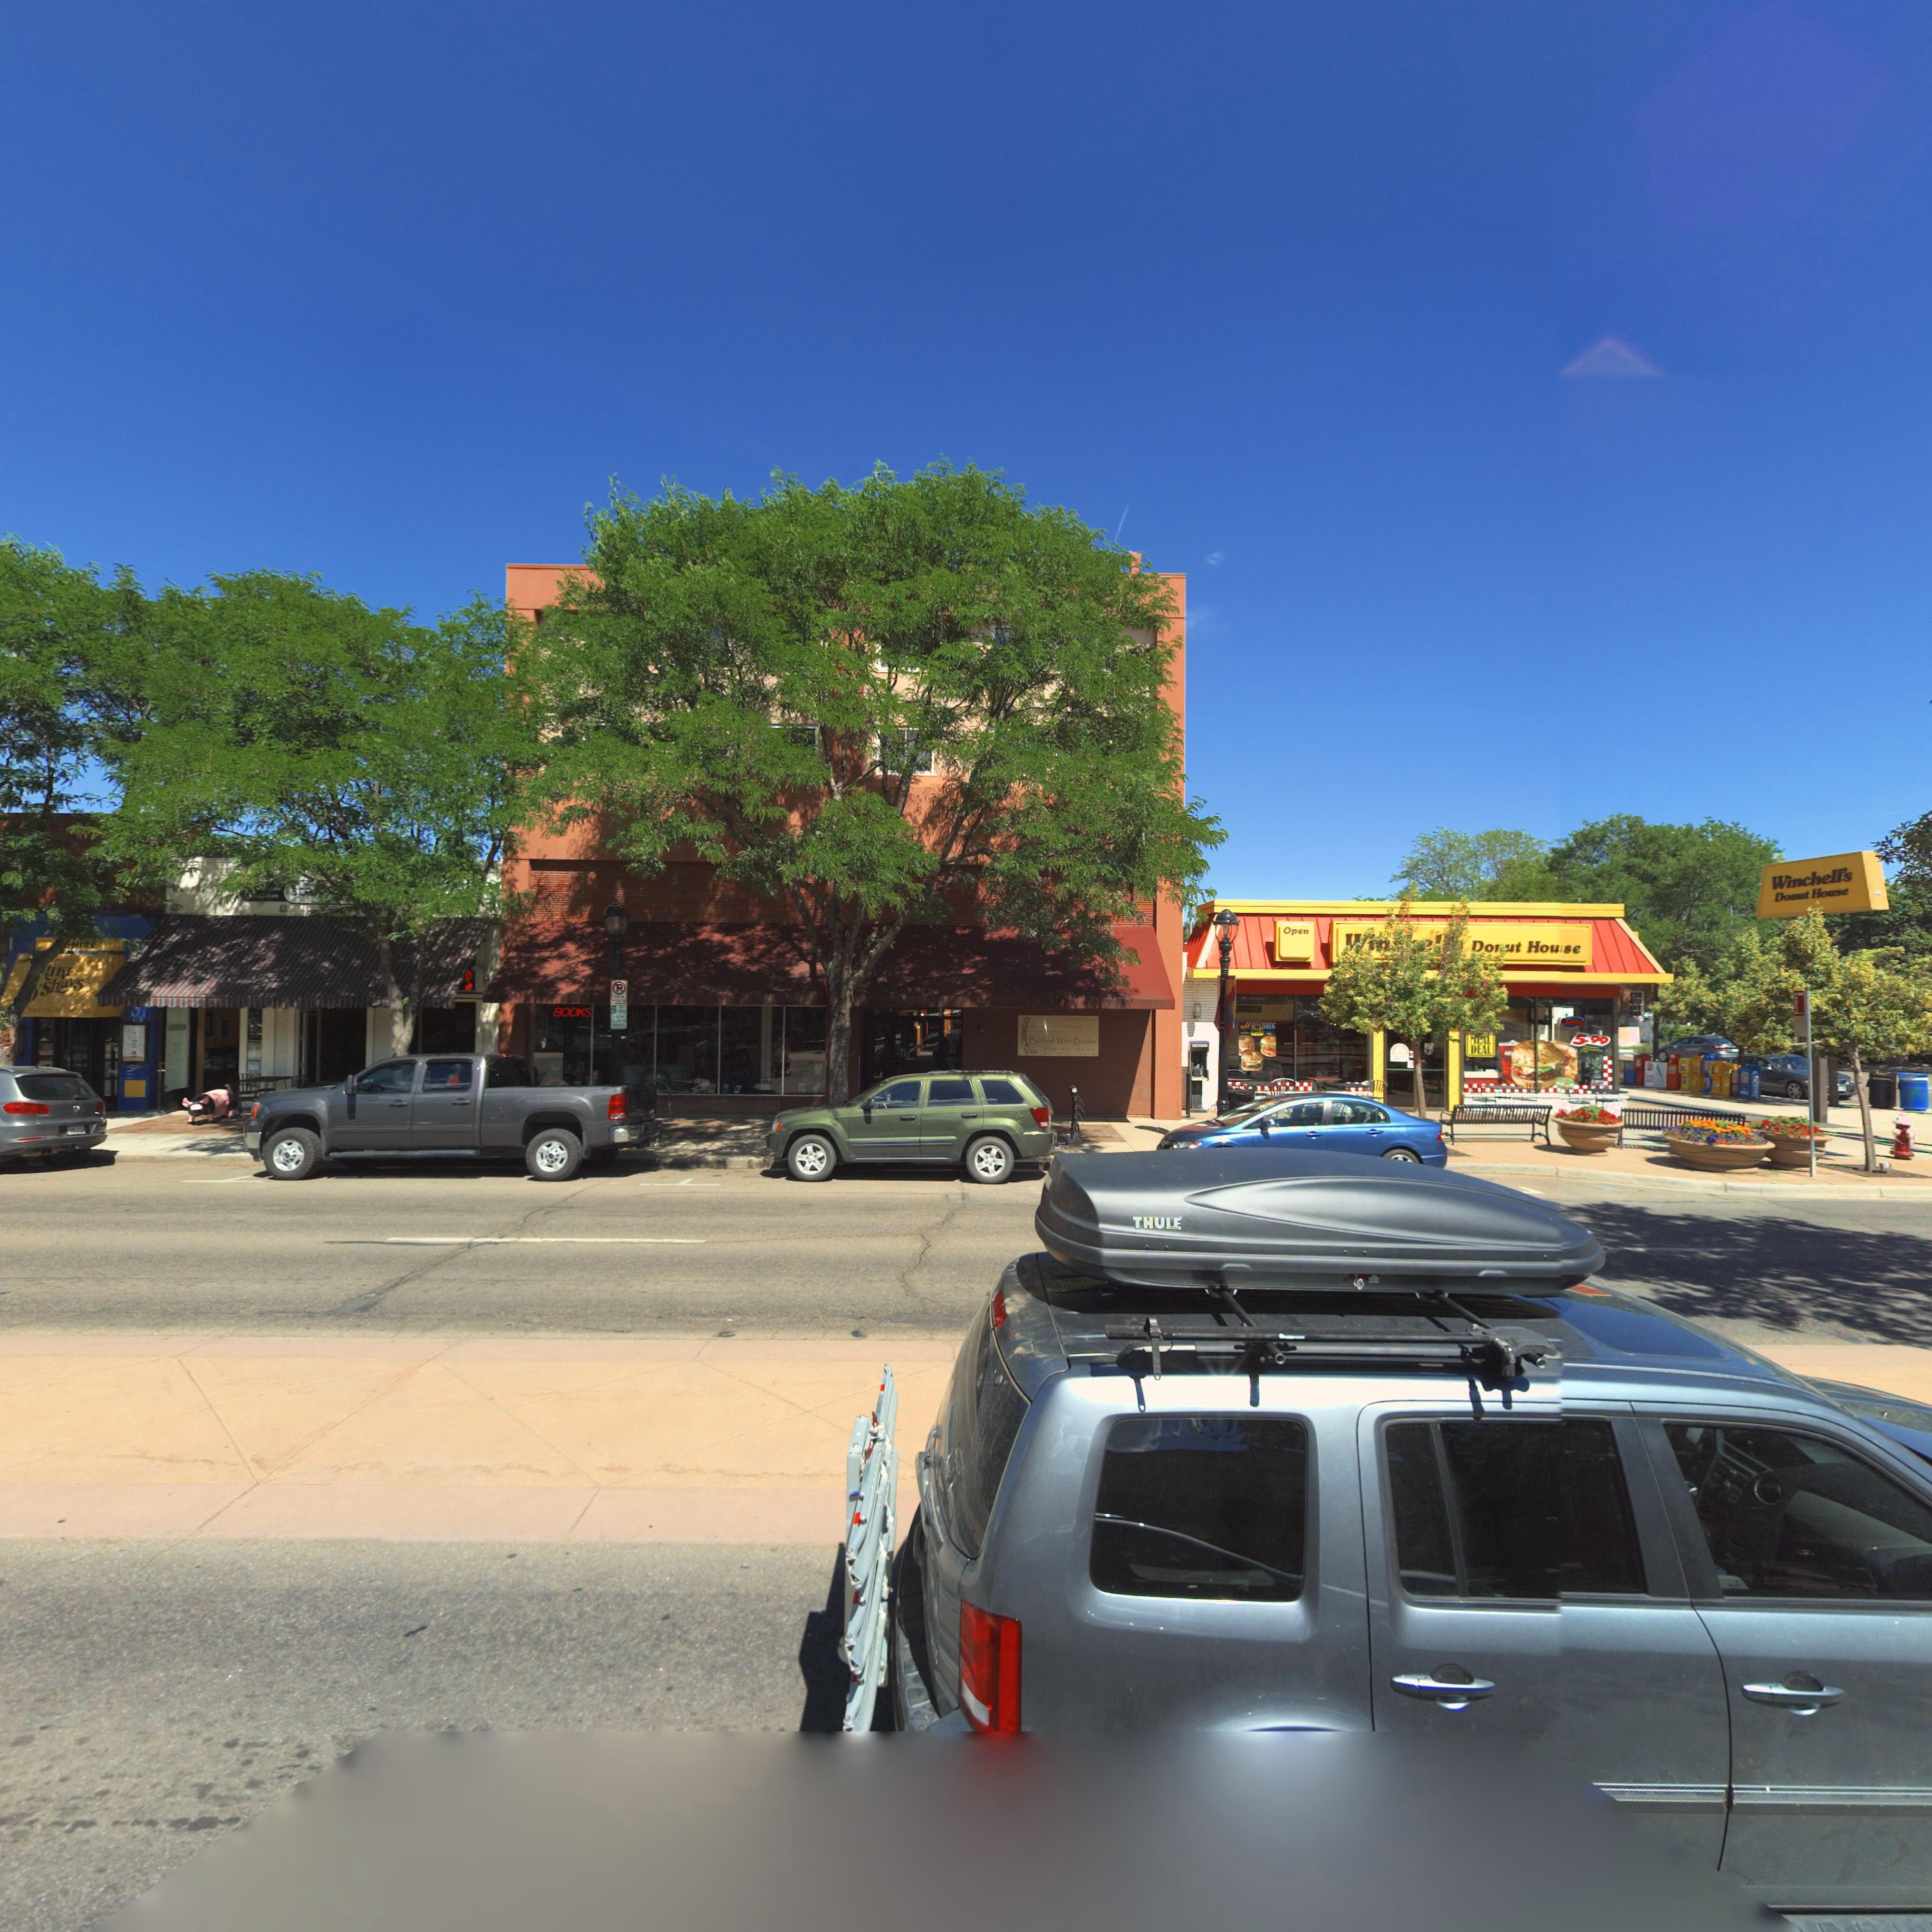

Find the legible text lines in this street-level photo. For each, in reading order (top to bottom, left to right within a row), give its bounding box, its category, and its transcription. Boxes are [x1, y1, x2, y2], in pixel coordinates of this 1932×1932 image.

[1771, 867, 1853, 890] BusinessName: Winchells
[1774, 888, 1848, 902] BusinessName: Do**t House
[1471, 939, 1582, 954] BusinessName: *o**t Hou*se
[43, 965, 77, 977] BusinessName: *IKE
[39, 977, 84, 996] BusinessName: Shays
[899, 1011, 908, 1015] StreetNumber: 504
[1065, 1017, 1074, 1021] StreetNumber: *0*
[1029, 1036, 1096, 1044] BusinessName: Barbed Wire Books